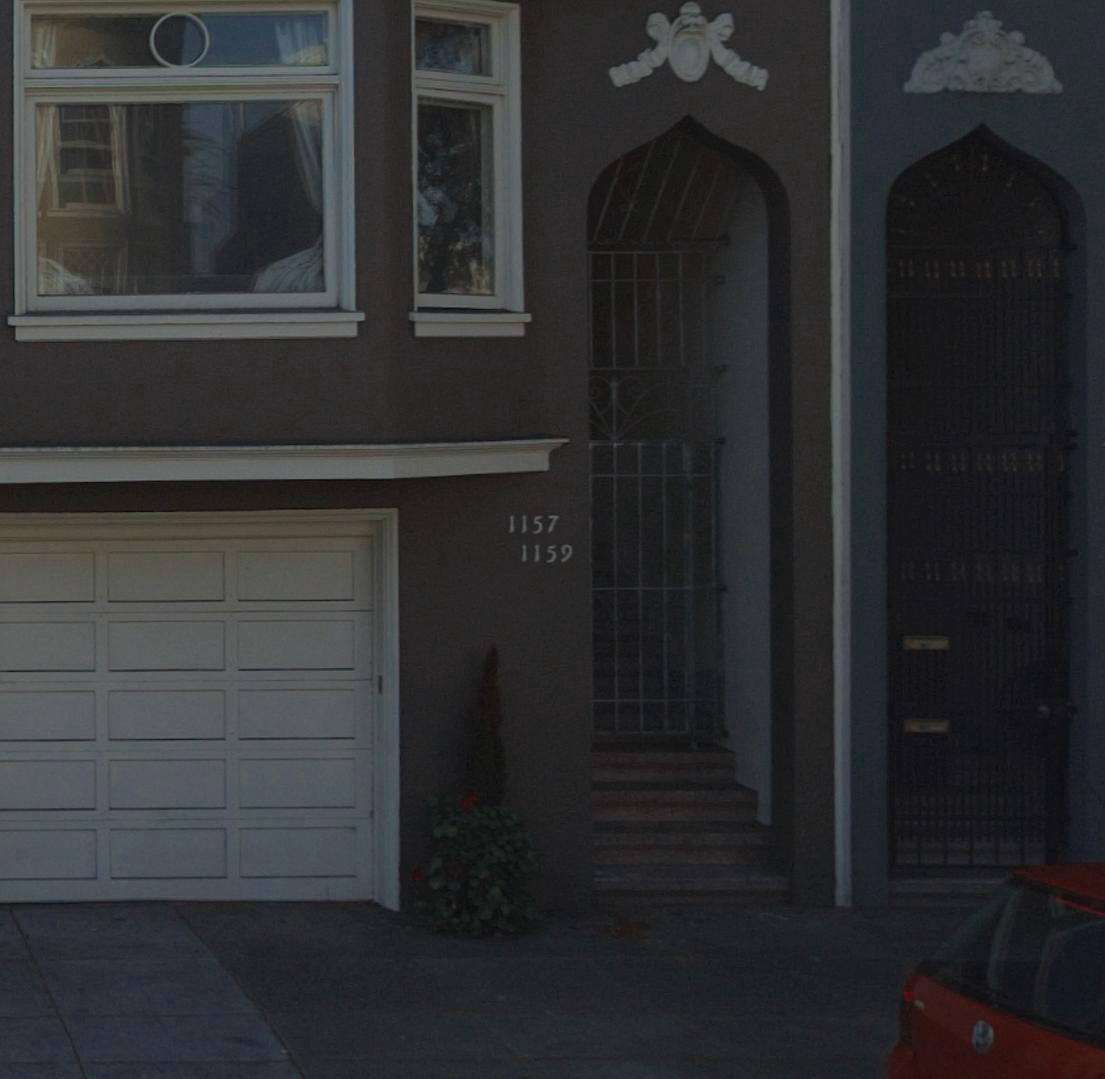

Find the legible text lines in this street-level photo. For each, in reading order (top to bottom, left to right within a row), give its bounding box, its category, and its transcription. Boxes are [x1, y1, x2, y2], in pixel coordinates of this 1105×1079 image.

[509, 513, 560, 535] StreetNumber: 1157
[520, 542, 574, 565] StreetNumber: 1159